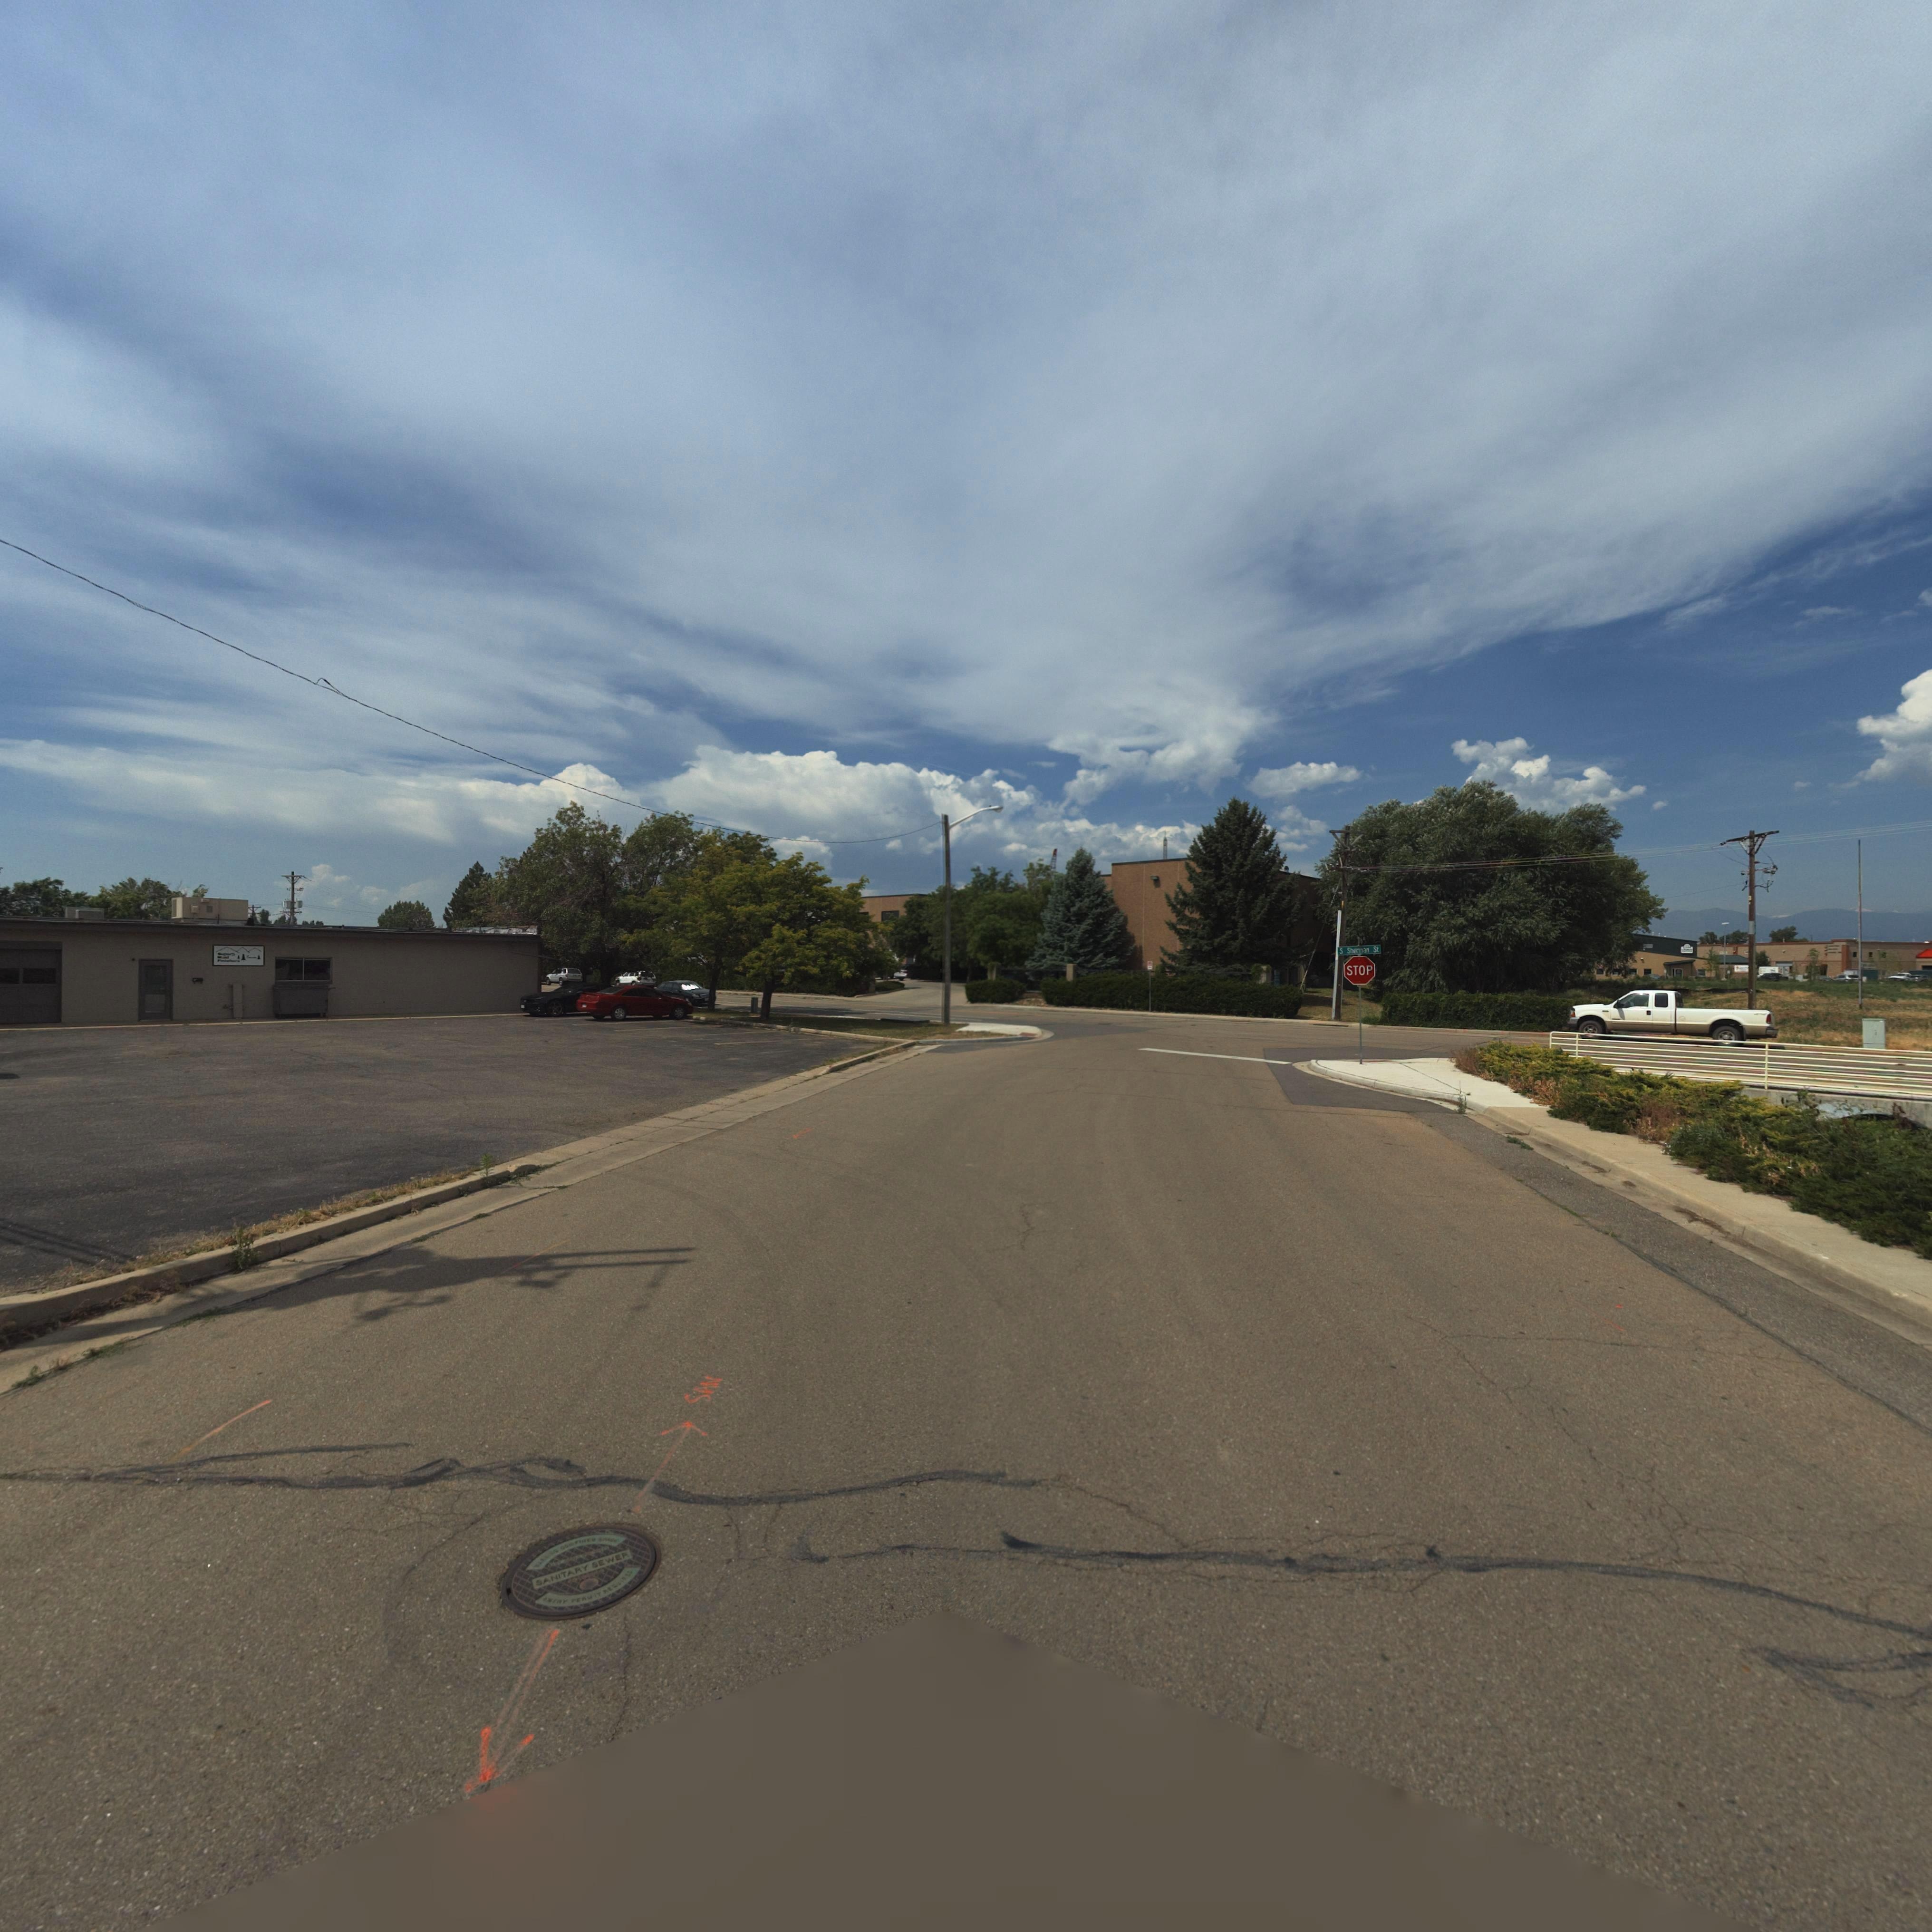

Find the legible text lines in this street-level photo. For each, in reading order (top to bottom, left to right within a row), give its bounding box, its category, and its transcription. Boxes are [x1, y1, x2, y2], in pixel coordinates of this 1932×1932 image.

[1339, 946, 1379, 955] StreetName: S Sherman St